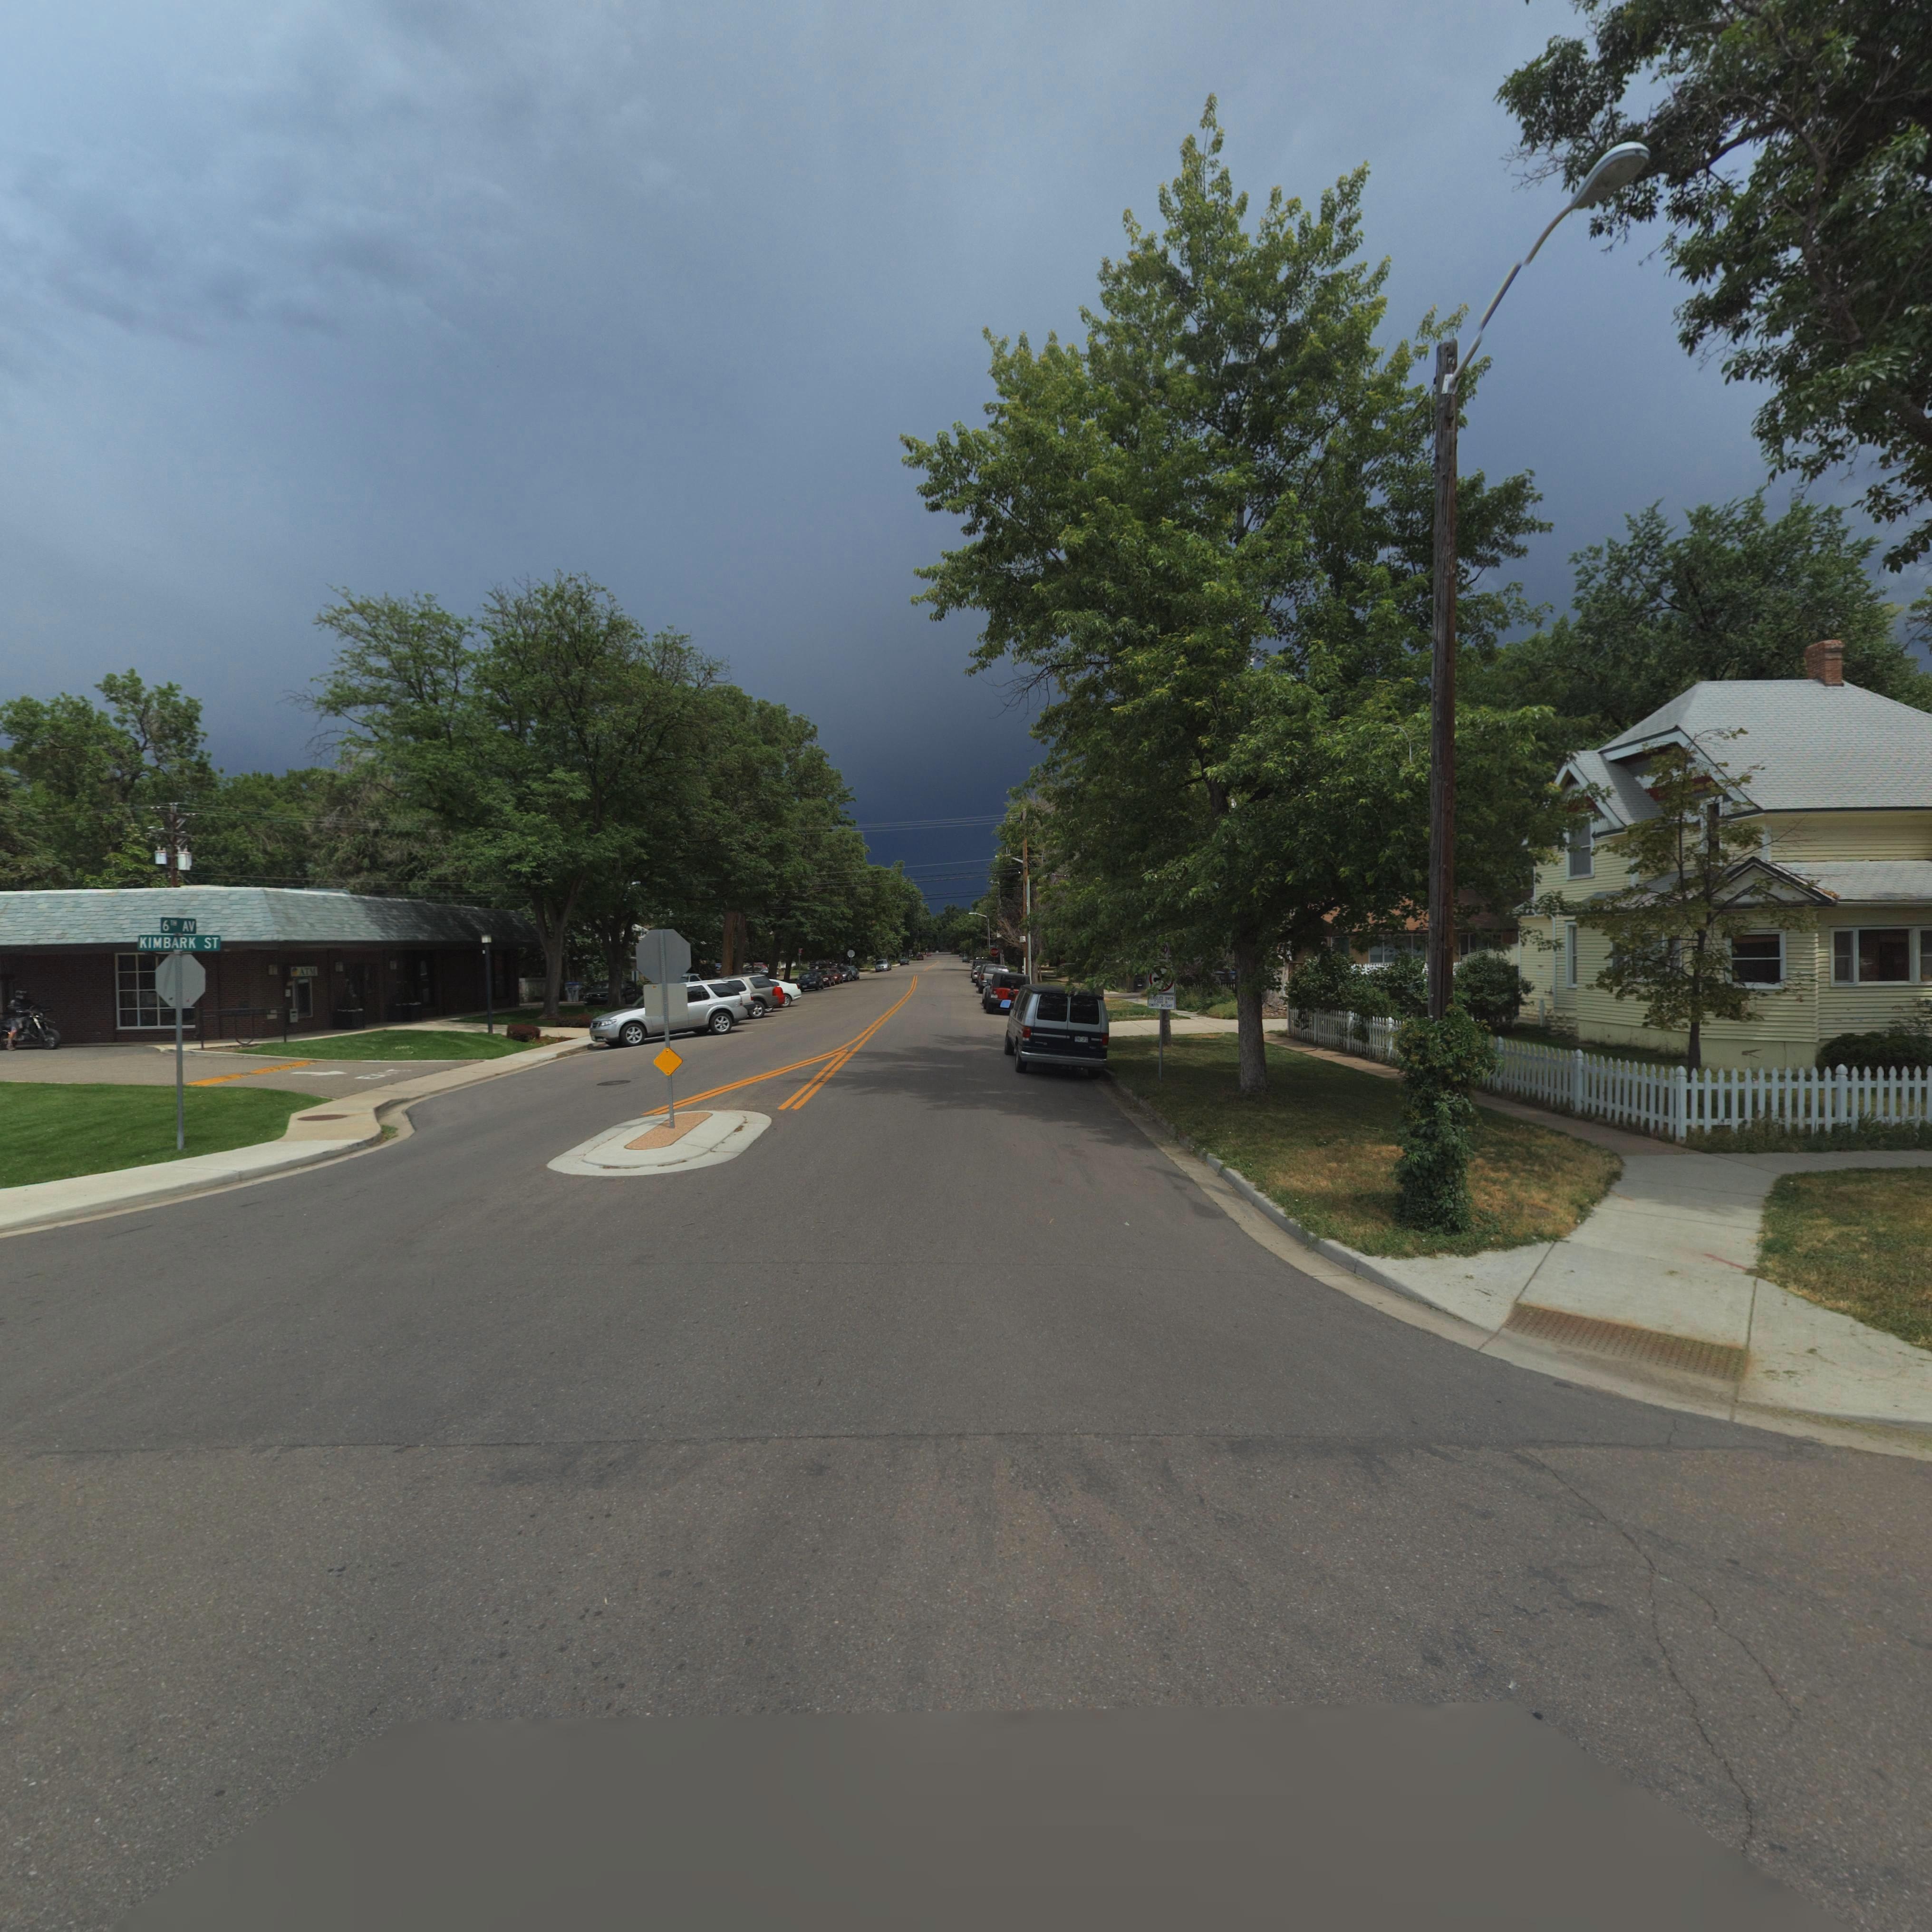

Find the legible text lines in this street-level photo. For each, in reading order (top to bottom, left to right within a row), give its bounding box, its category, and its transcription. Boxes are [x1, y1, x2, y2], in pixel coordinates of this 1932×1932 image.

[162, 919, 195, 932] StreetName: 6TH AV
[139, 937, 219, 949] StreetName: KIMBARK ST